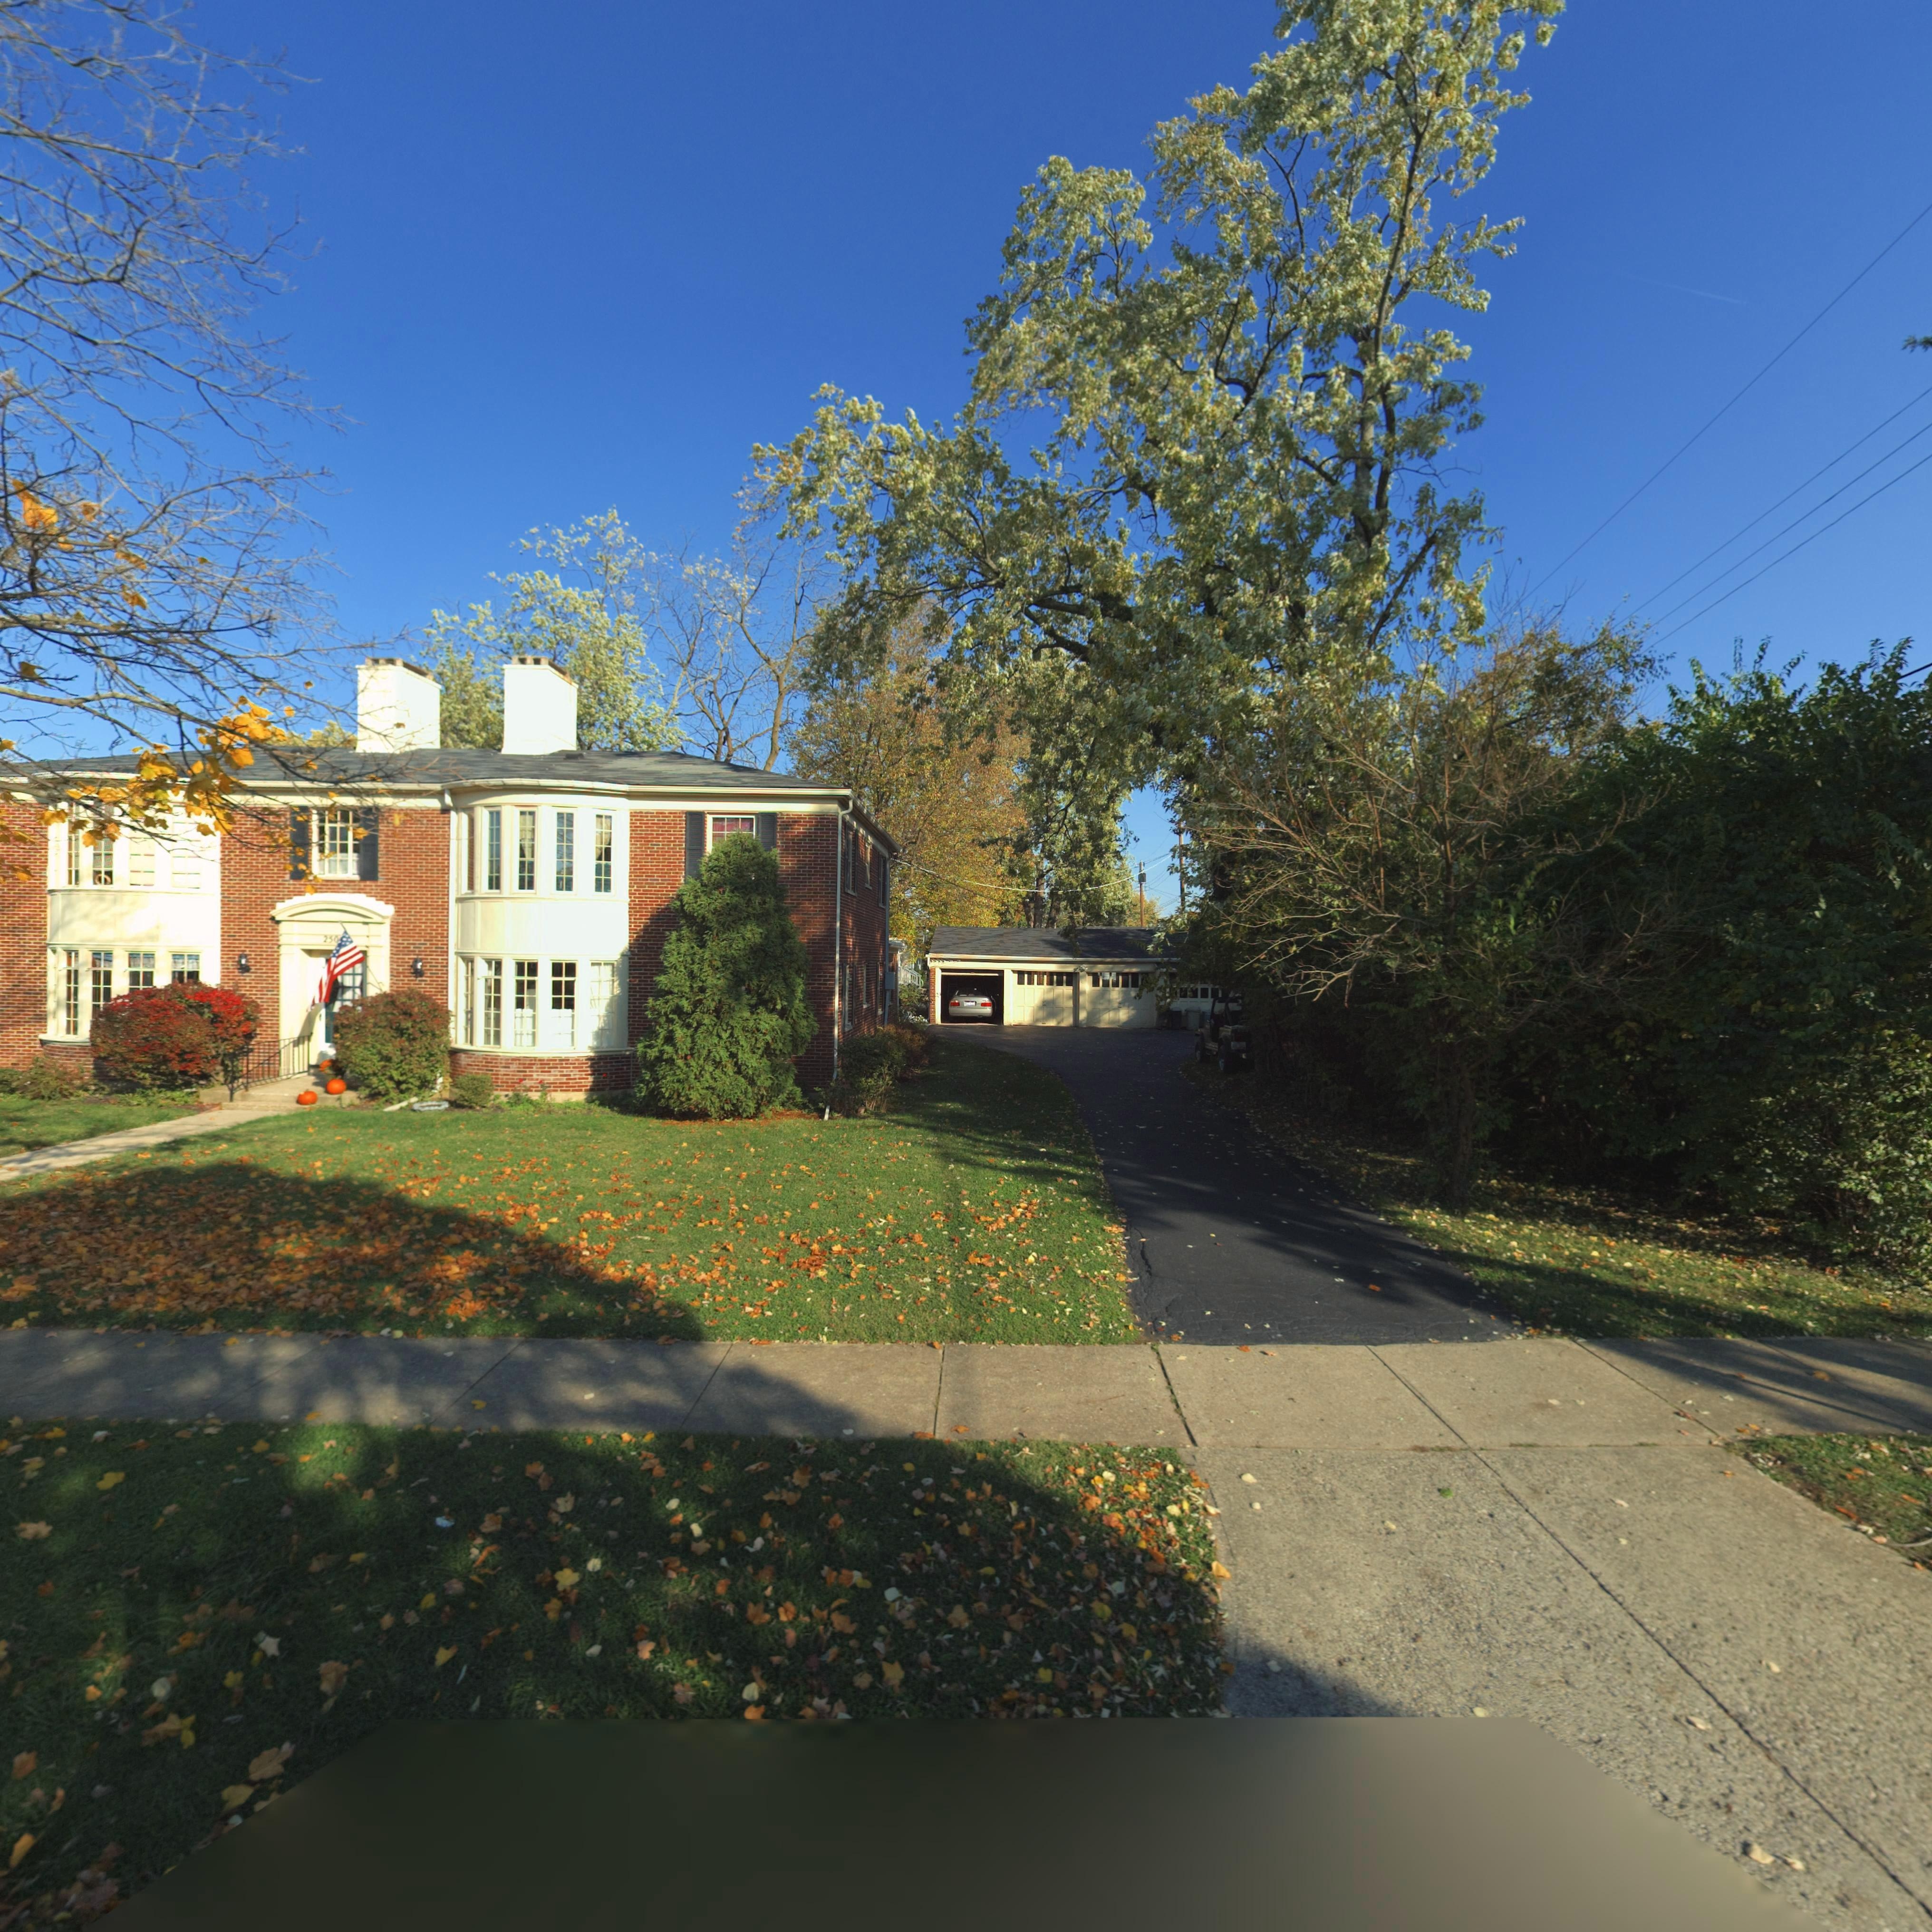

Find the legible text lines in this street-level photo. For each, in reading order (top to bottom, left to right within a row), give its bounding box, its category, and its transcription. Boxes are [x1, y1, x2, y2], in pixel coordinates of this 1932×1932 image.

[321, 934, 340, 945] StreetNumber: 250